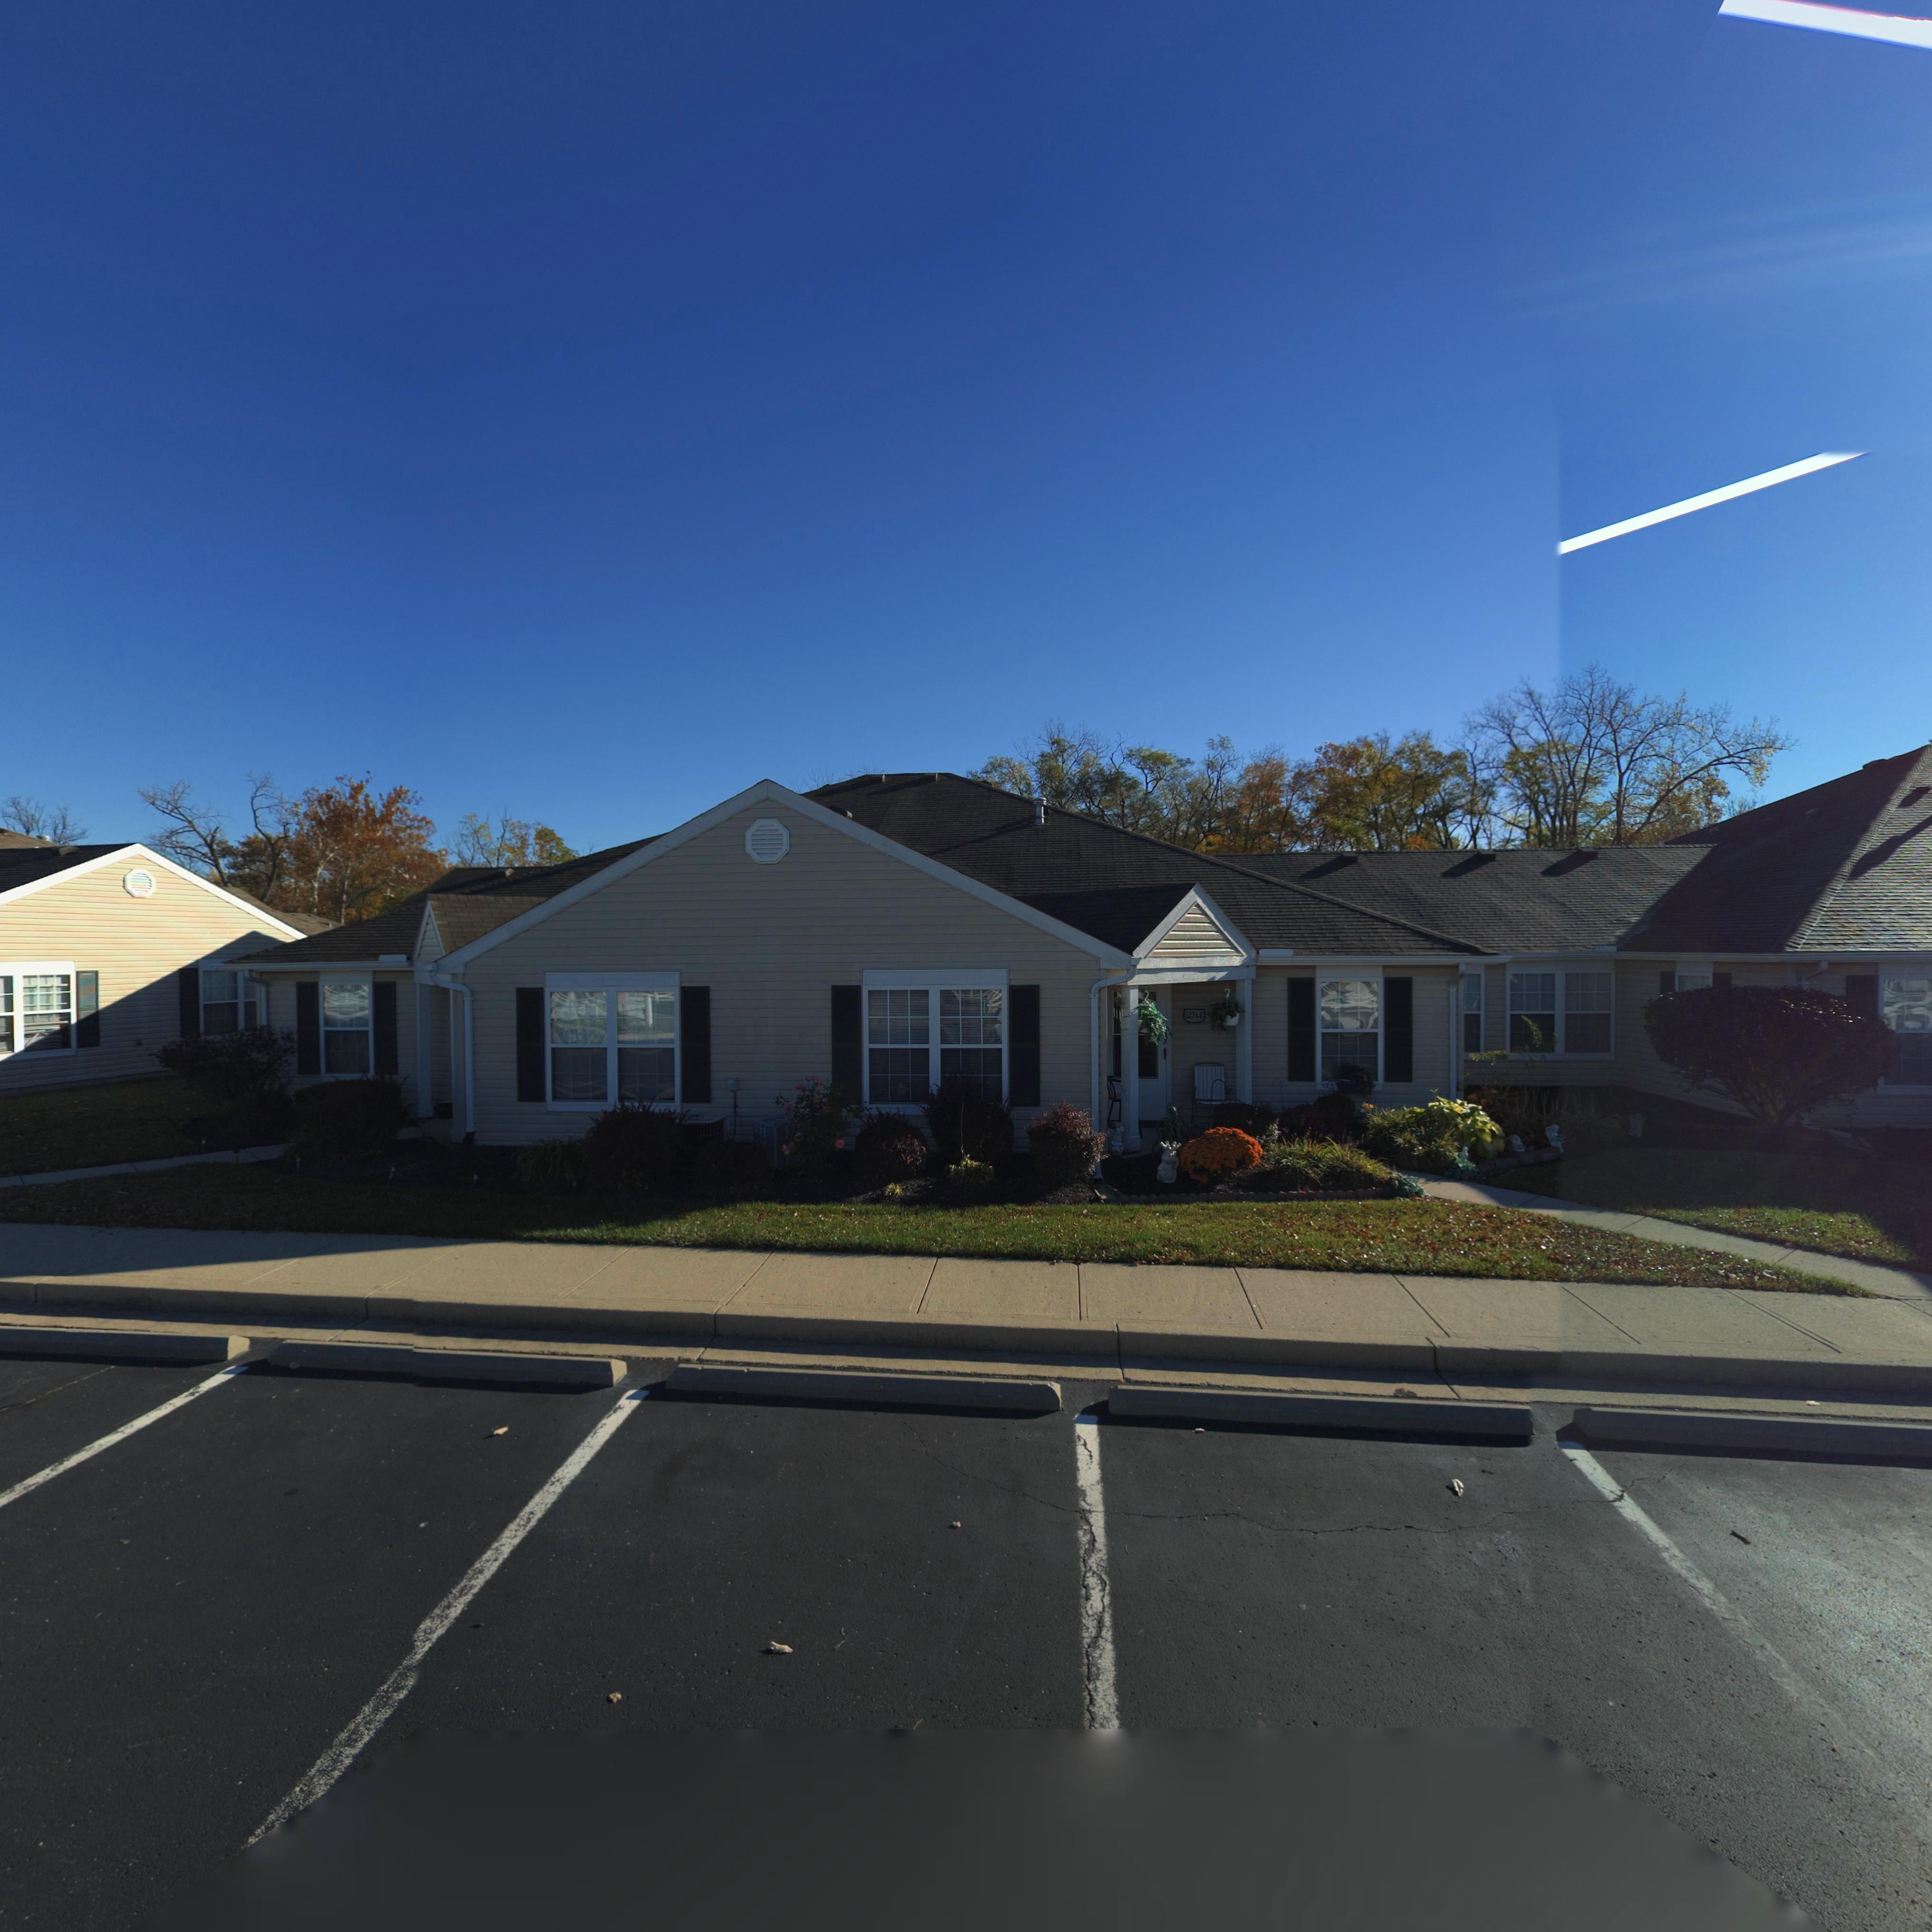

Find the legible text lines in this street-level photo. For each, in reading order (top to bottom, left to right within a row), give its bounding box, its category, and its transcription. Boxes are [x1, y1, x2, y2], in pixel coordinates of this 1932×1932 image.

[1185, 1011, 1204, 1020] StreetNumber: 5274-B